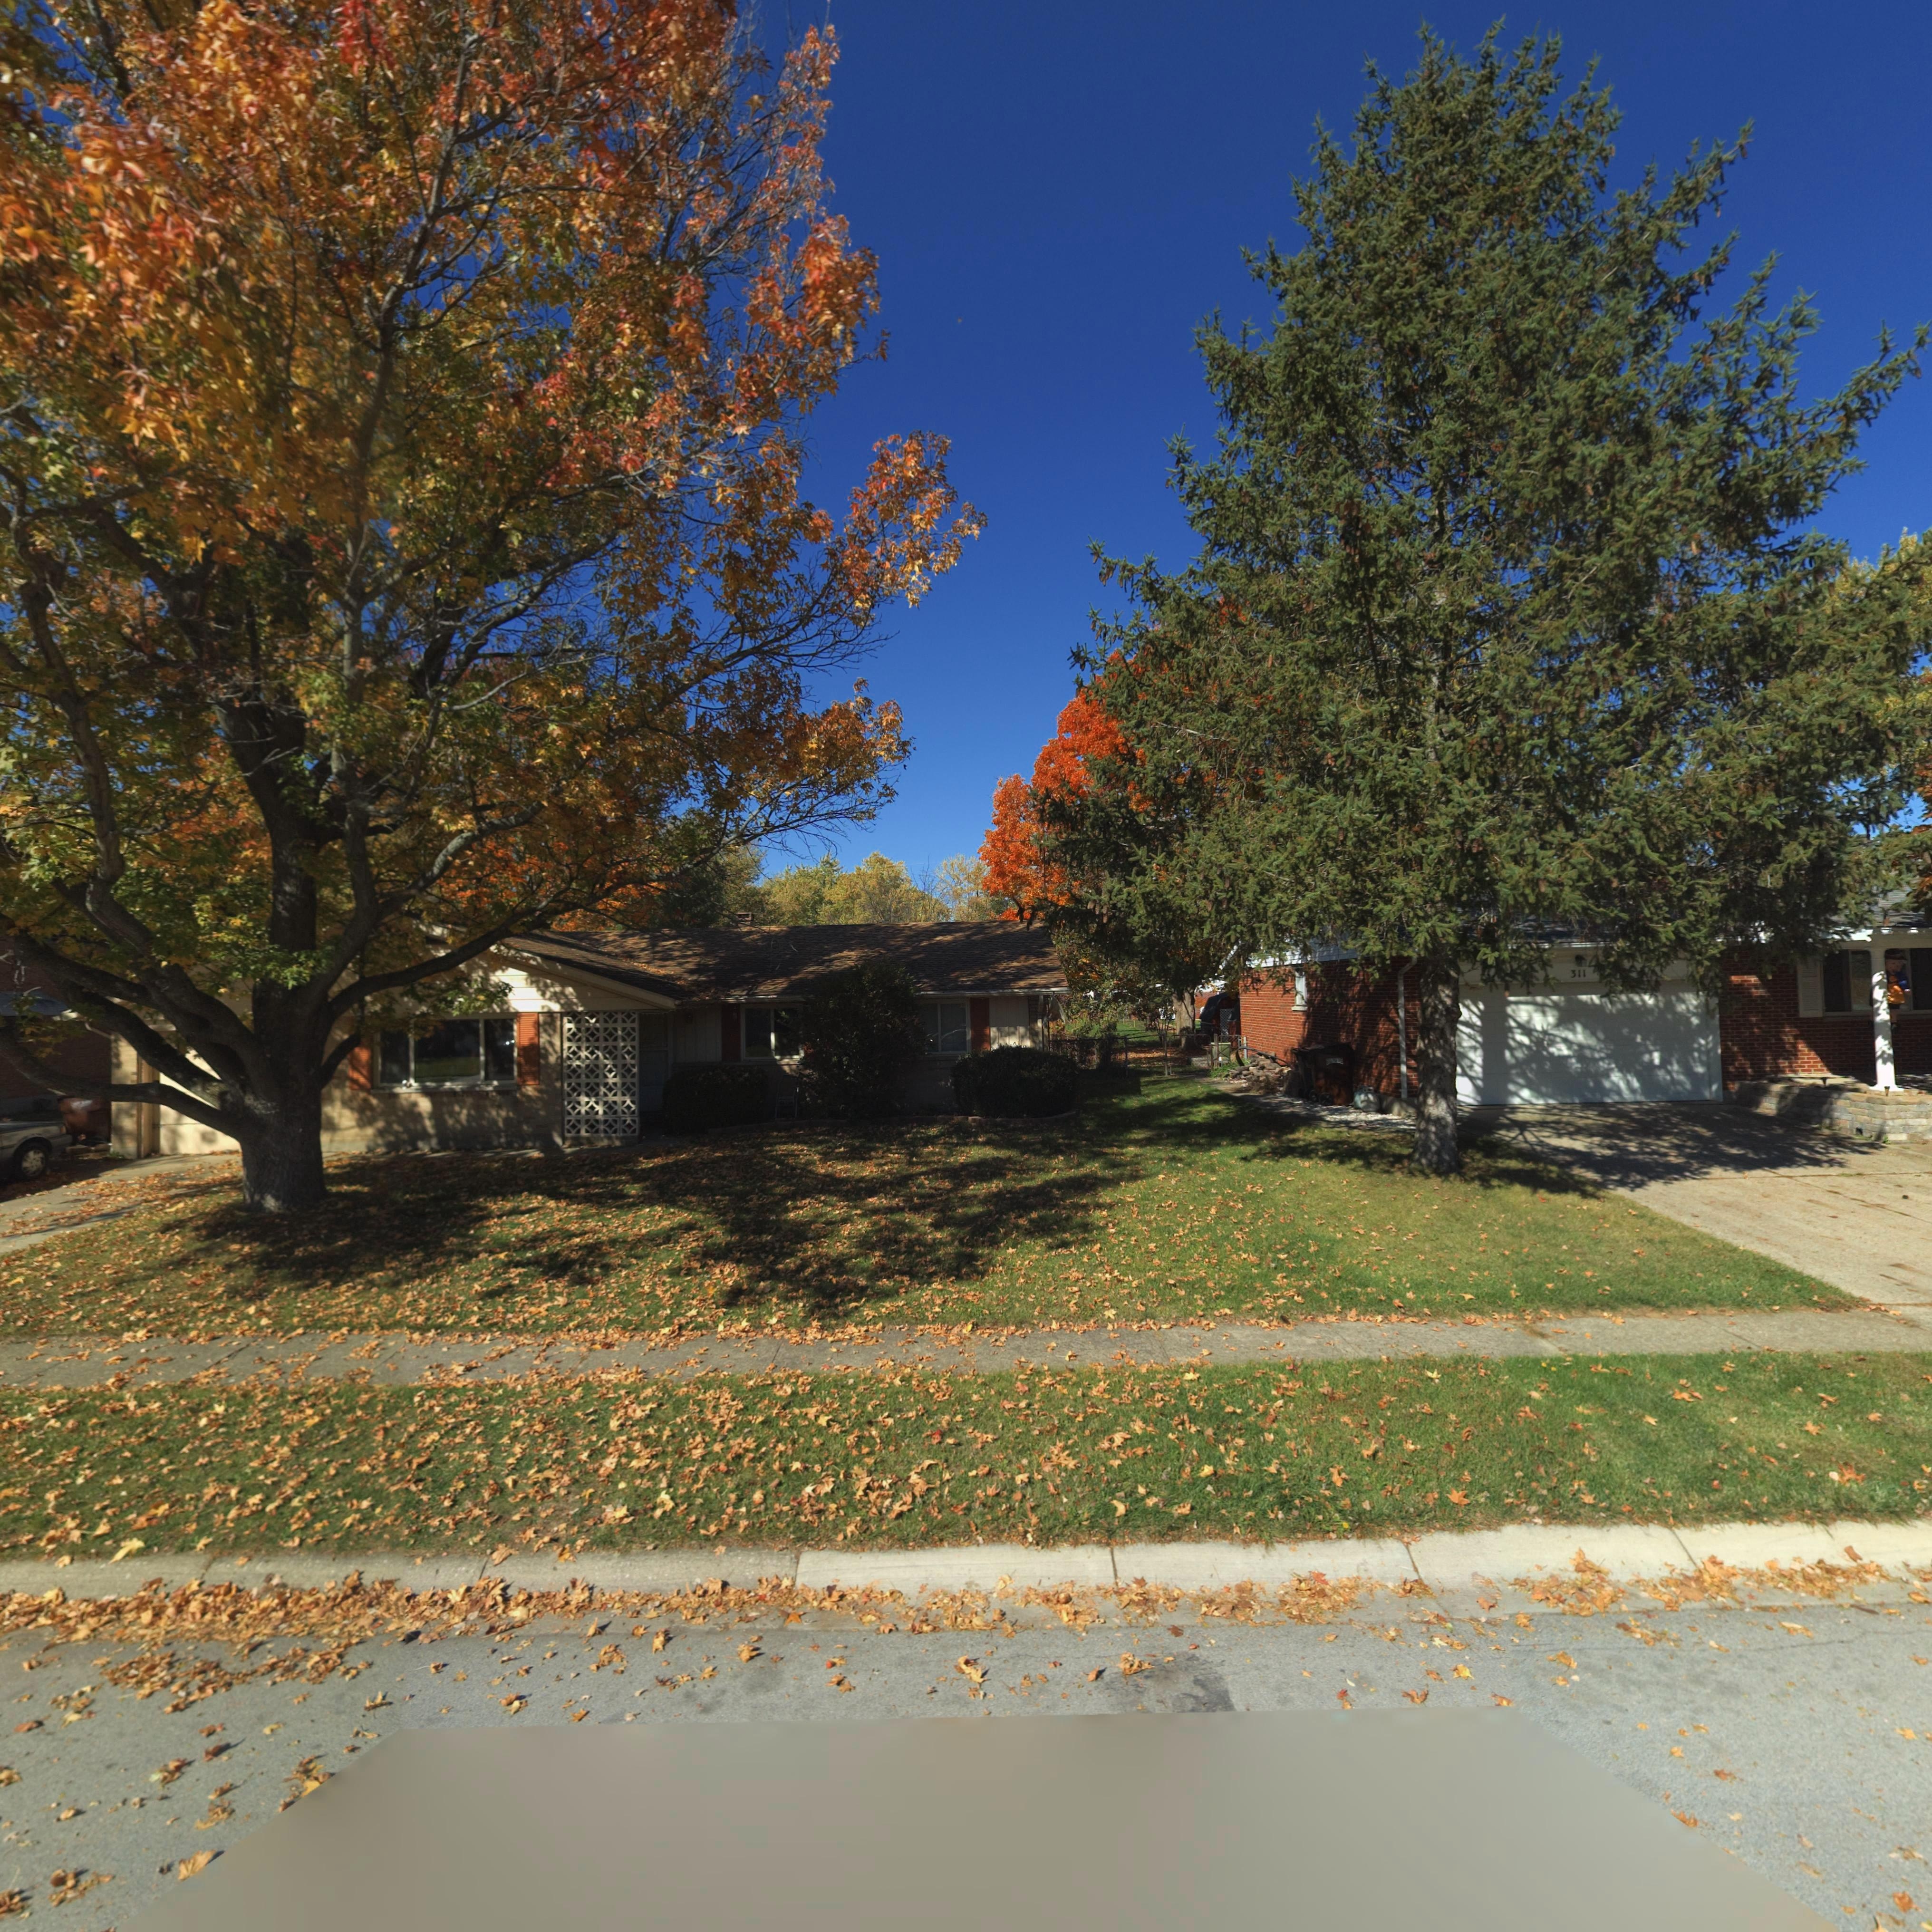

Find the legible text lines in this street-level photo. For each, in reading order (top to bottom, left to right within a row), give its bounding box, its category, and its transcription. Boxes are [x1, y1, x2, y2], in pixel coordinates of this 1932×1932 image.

[1569, 968, 1587, 979] StreetNumber: 311